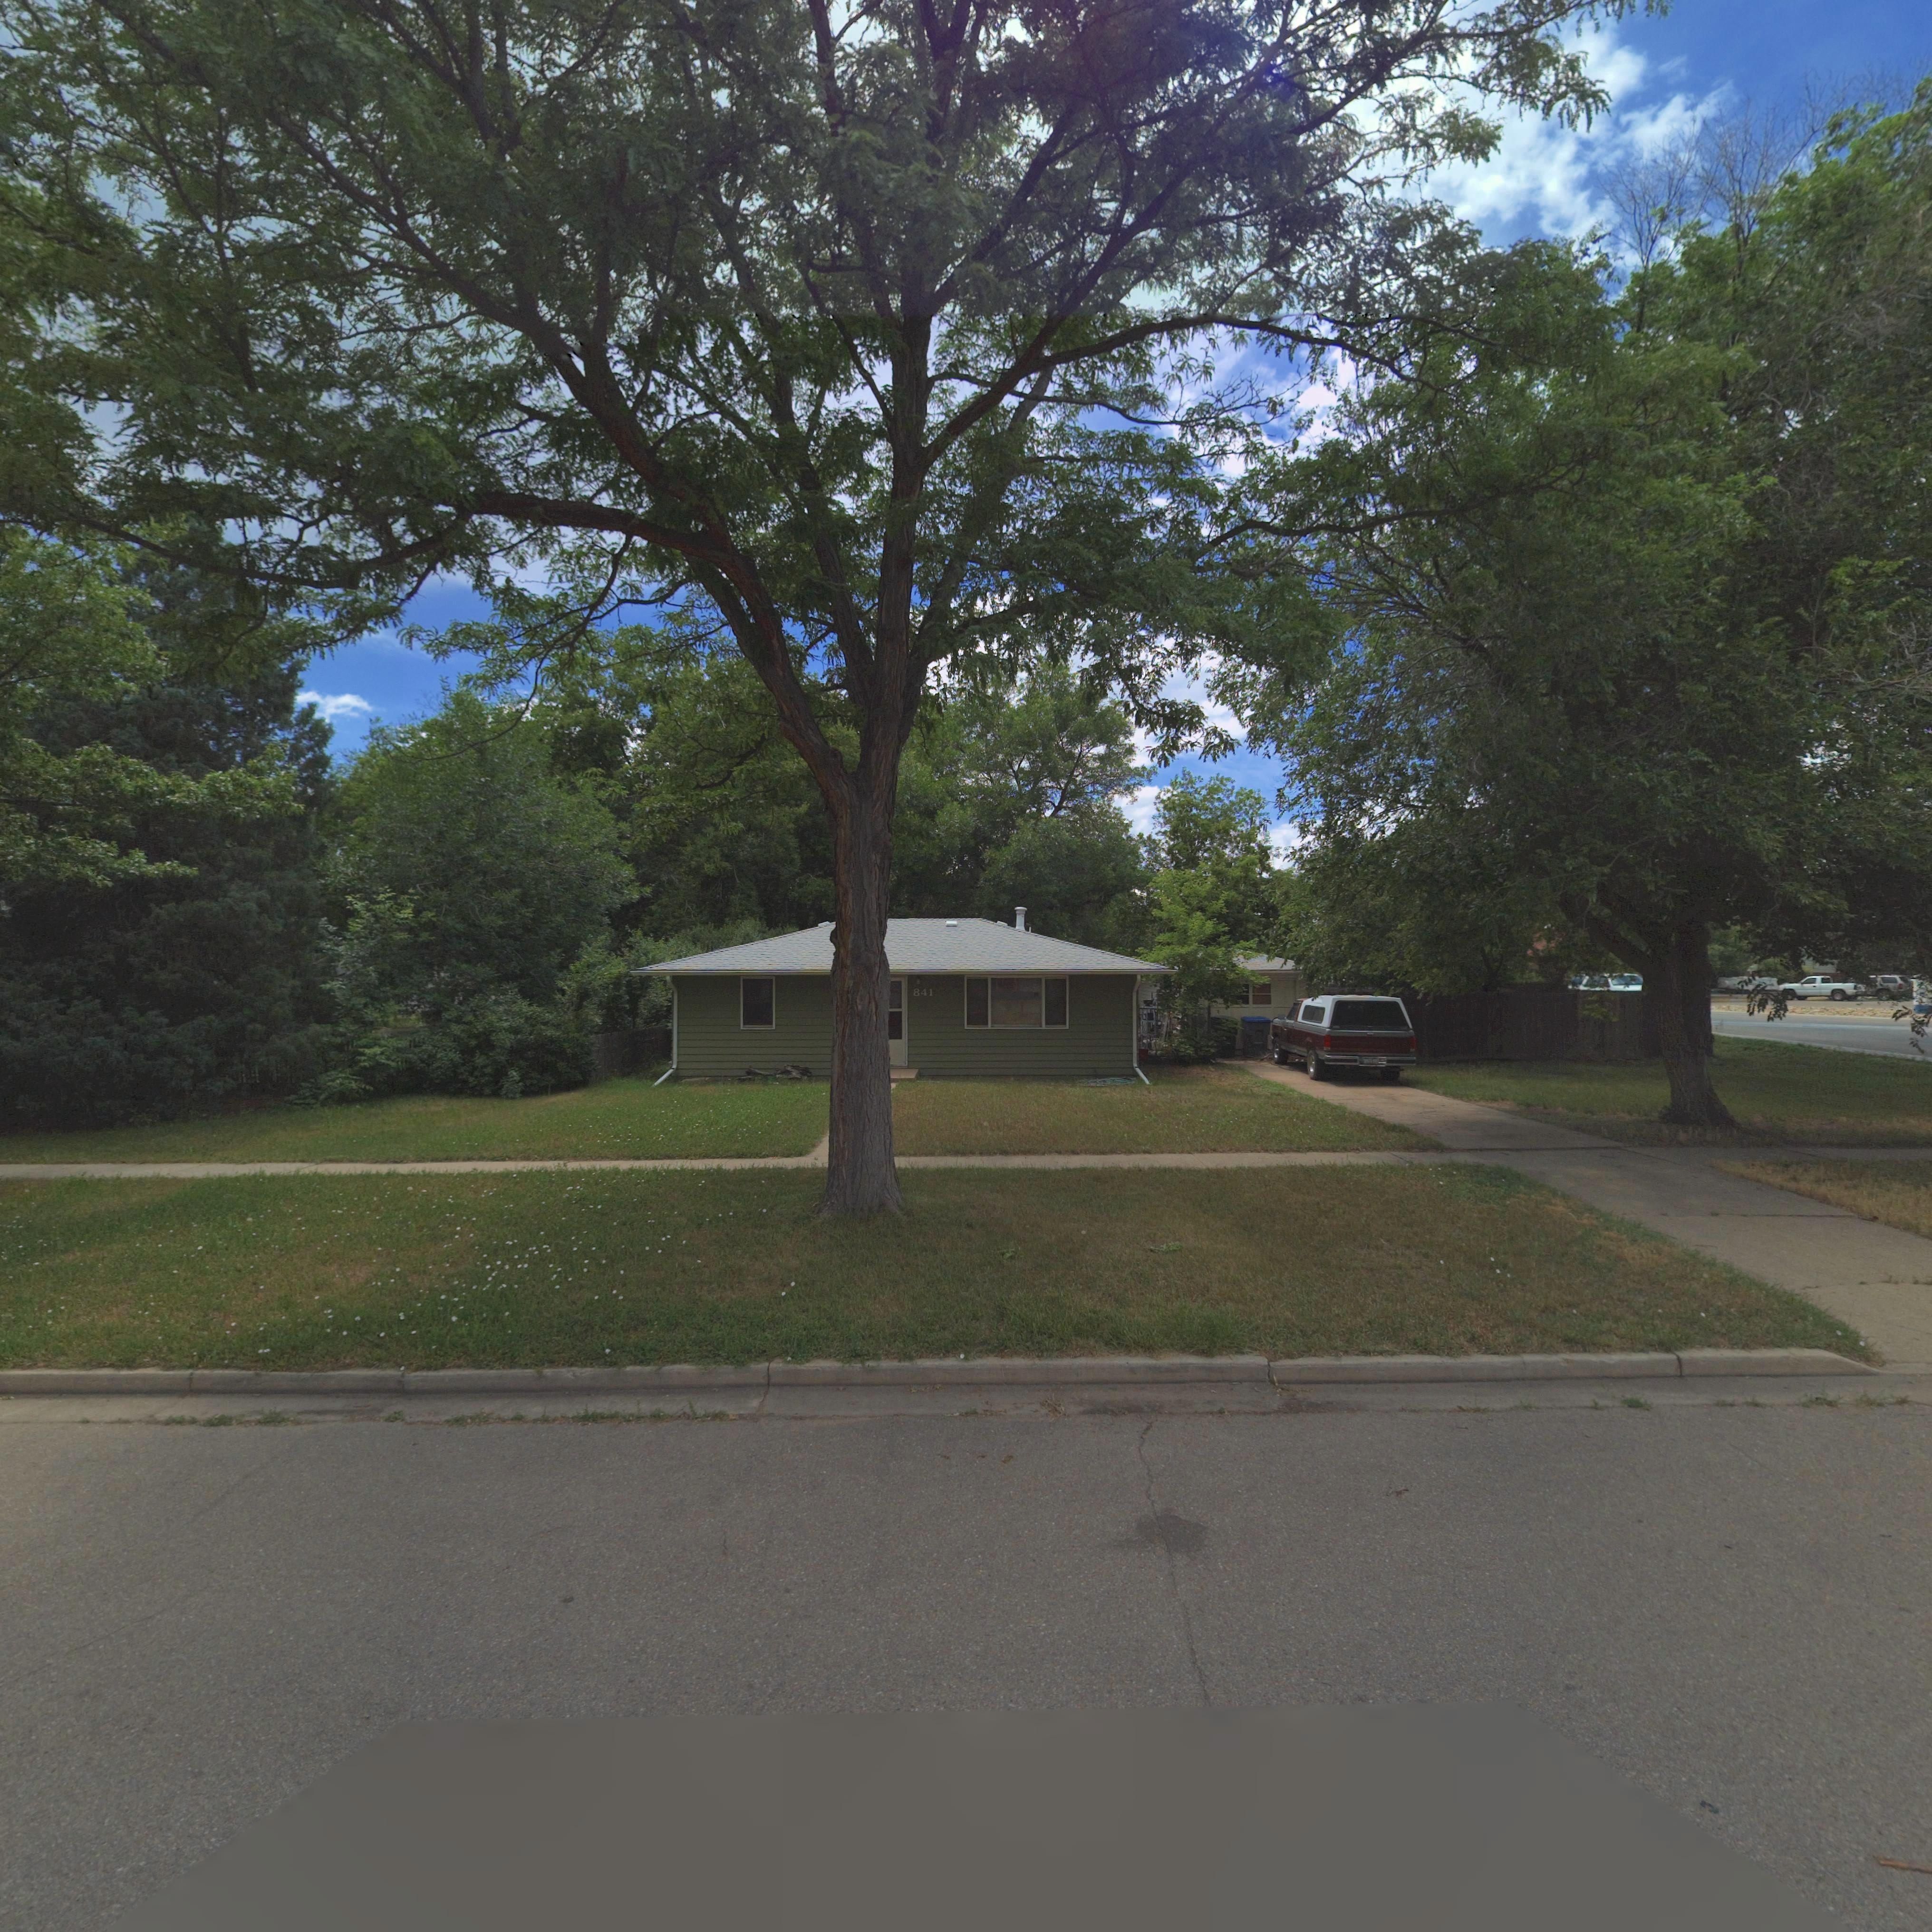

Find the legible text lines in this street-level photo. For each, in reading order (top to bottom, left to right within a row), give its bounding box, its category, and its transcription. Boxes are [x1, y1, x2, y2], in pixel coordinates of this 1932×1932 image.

[912, 987, 934, 996] StreetNumber: 841